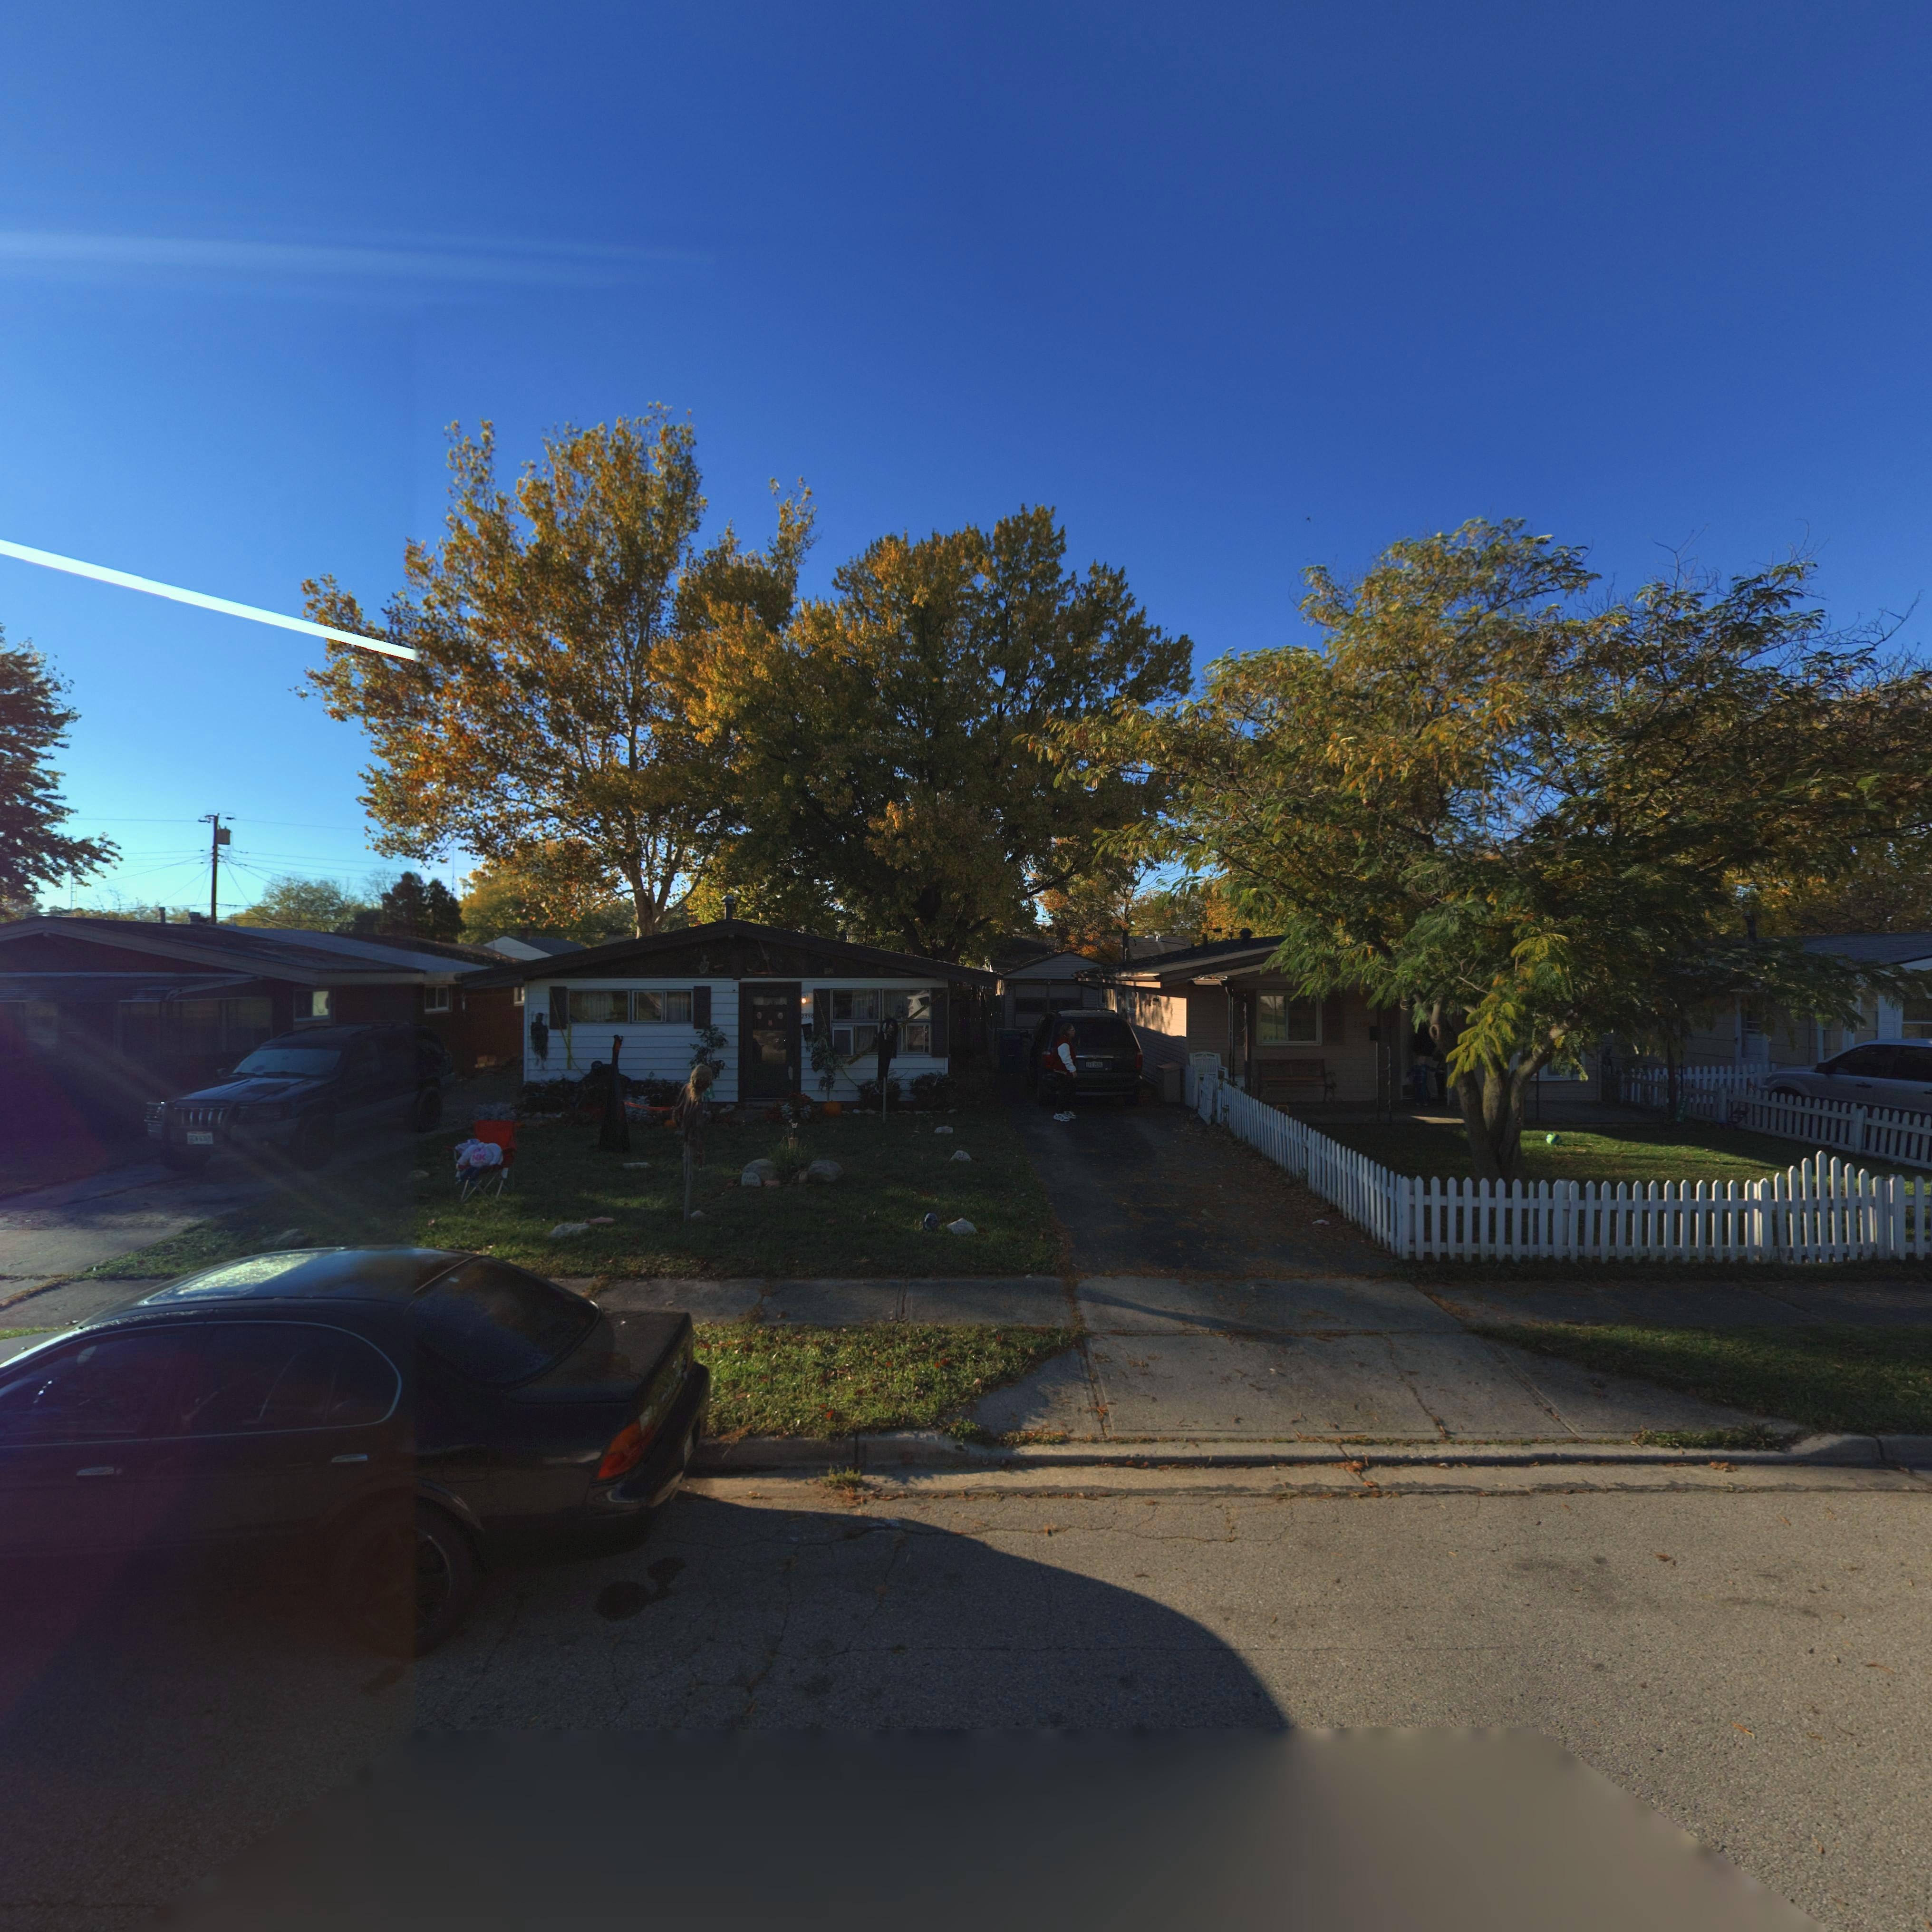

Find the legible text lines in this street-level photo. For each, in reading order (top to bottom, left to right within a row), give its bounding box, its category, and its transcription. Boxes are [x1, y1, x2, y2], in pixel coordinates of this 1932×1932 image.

[801, 1013, 813, 1020] StreetNumber: 2*9*
[1352, 1021, 1371, 1029] StreetNumber: 2***